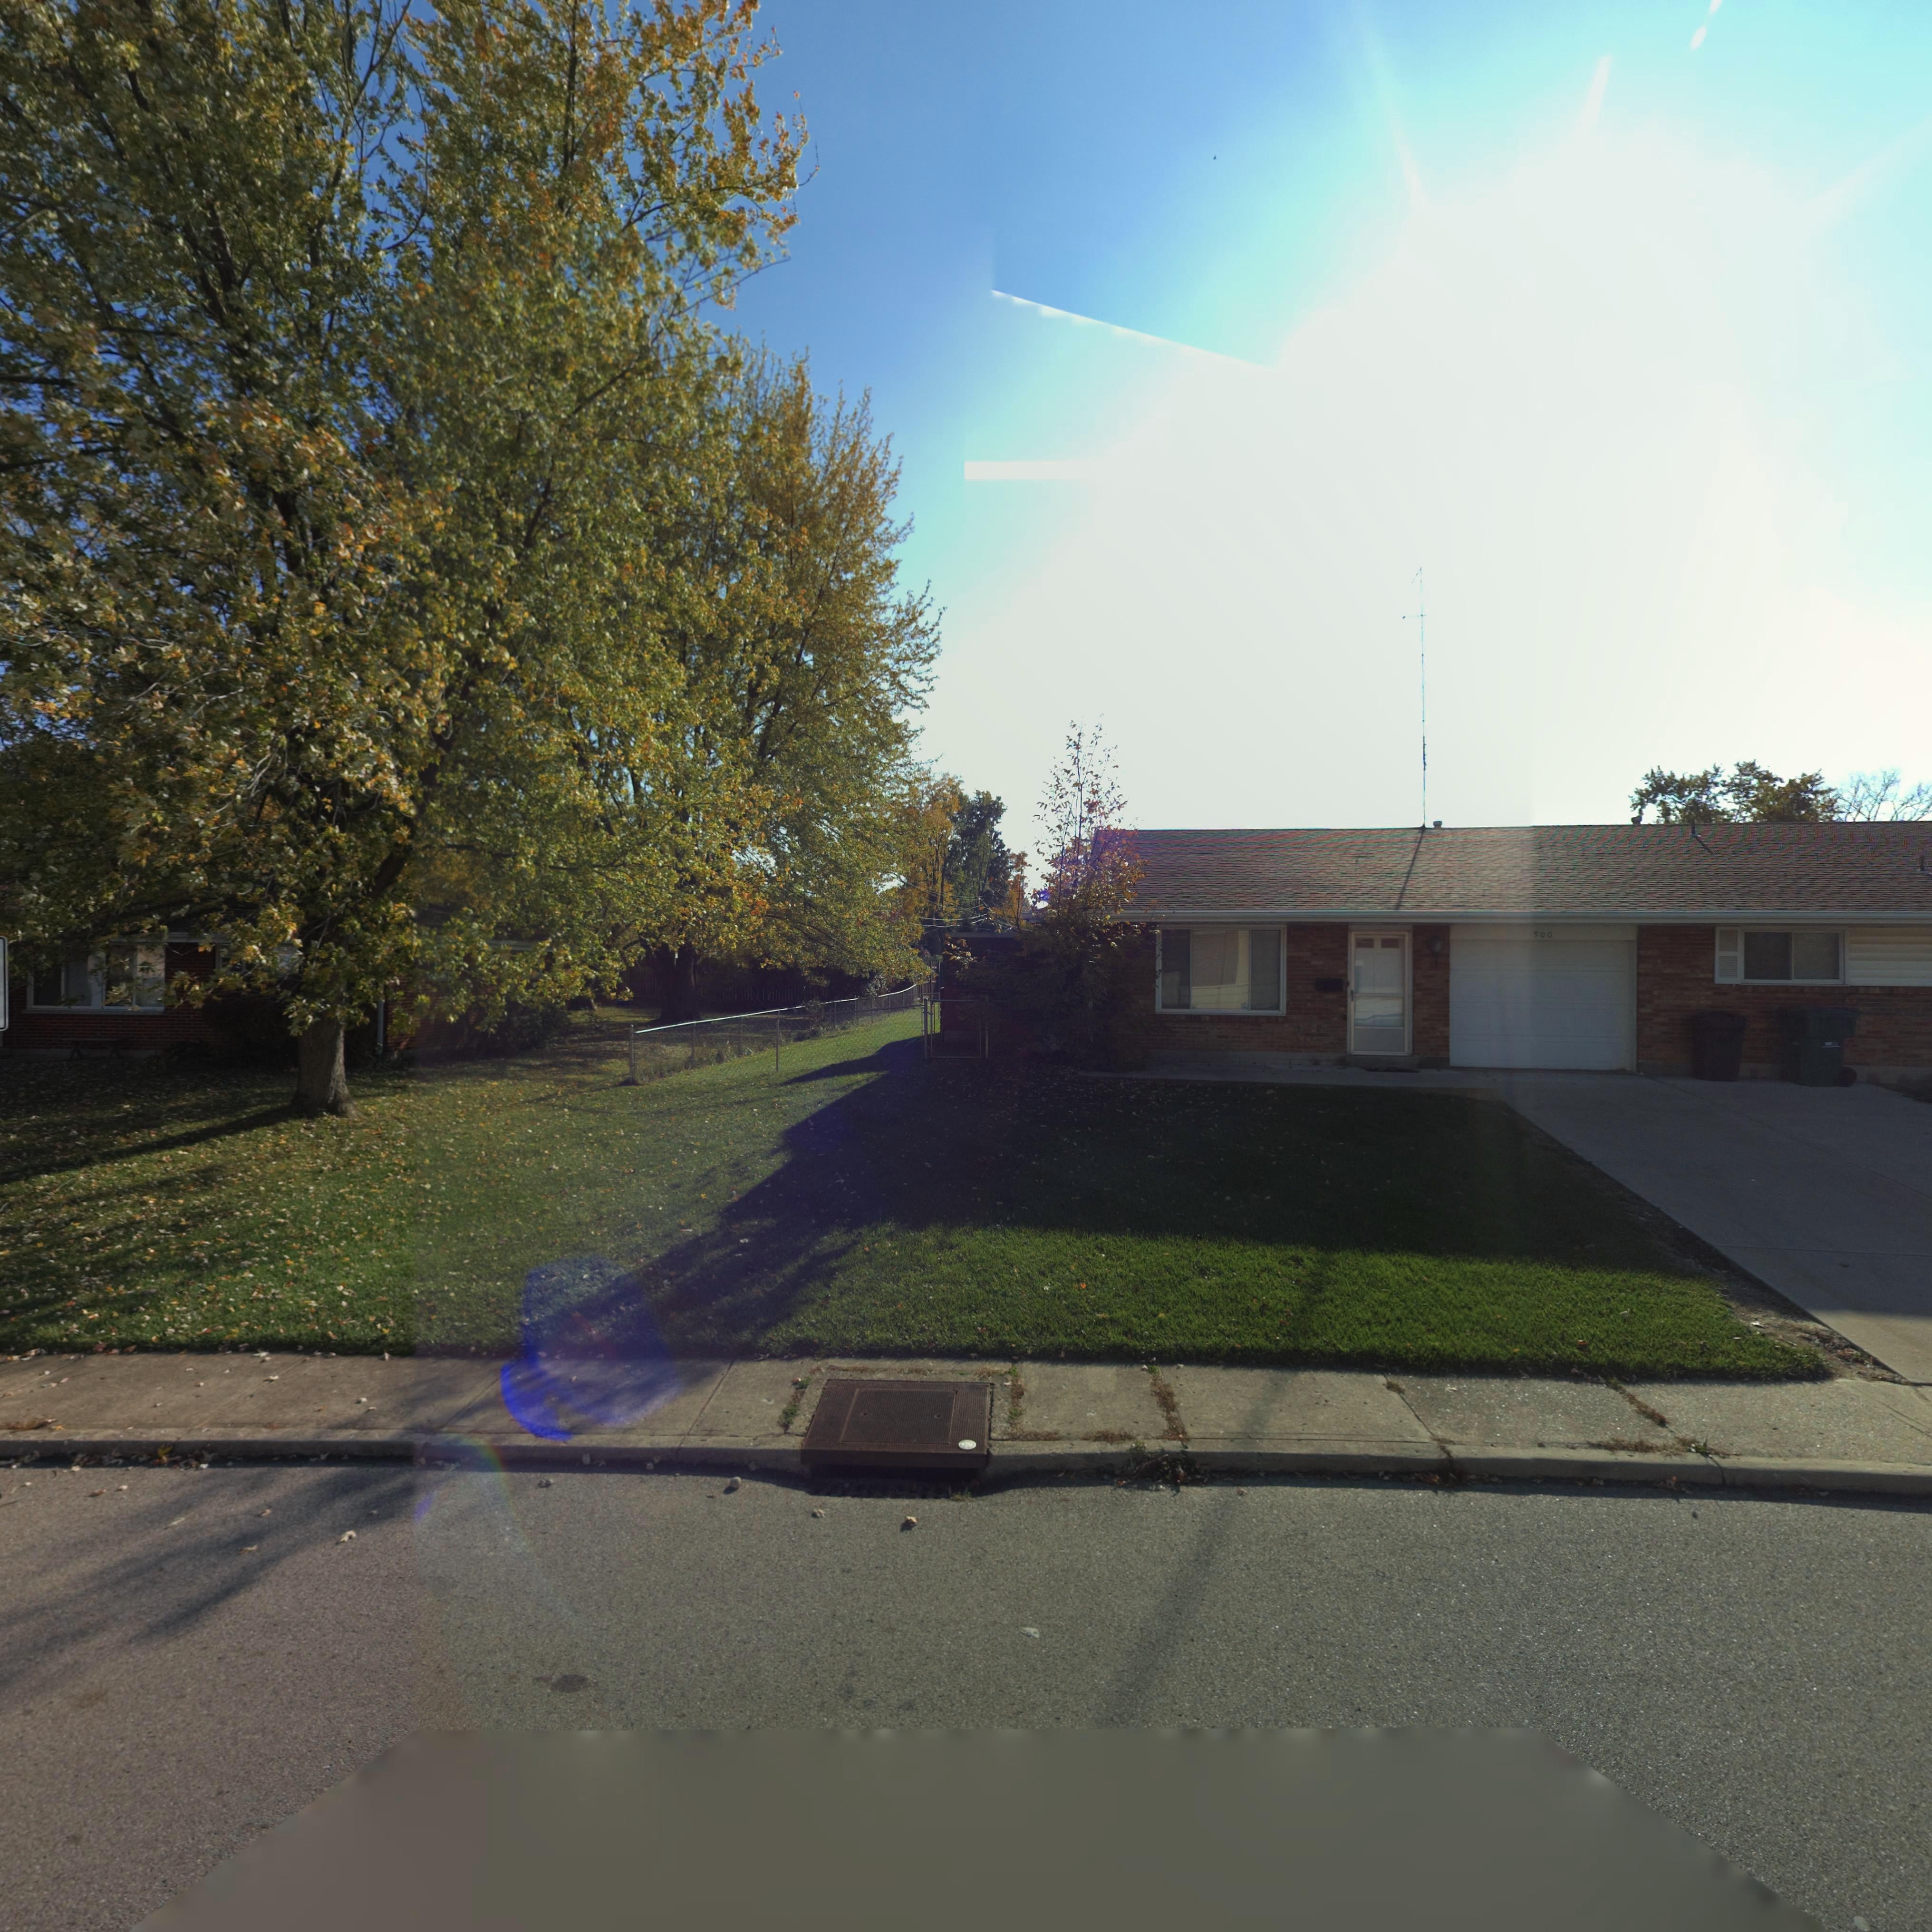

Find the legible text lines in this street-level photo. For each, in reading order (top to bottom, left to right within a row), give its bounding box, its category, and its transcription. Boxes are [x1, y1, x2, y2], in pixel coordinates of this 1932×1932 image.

[1533, 930, 1554, 940] StreetNumber: 900